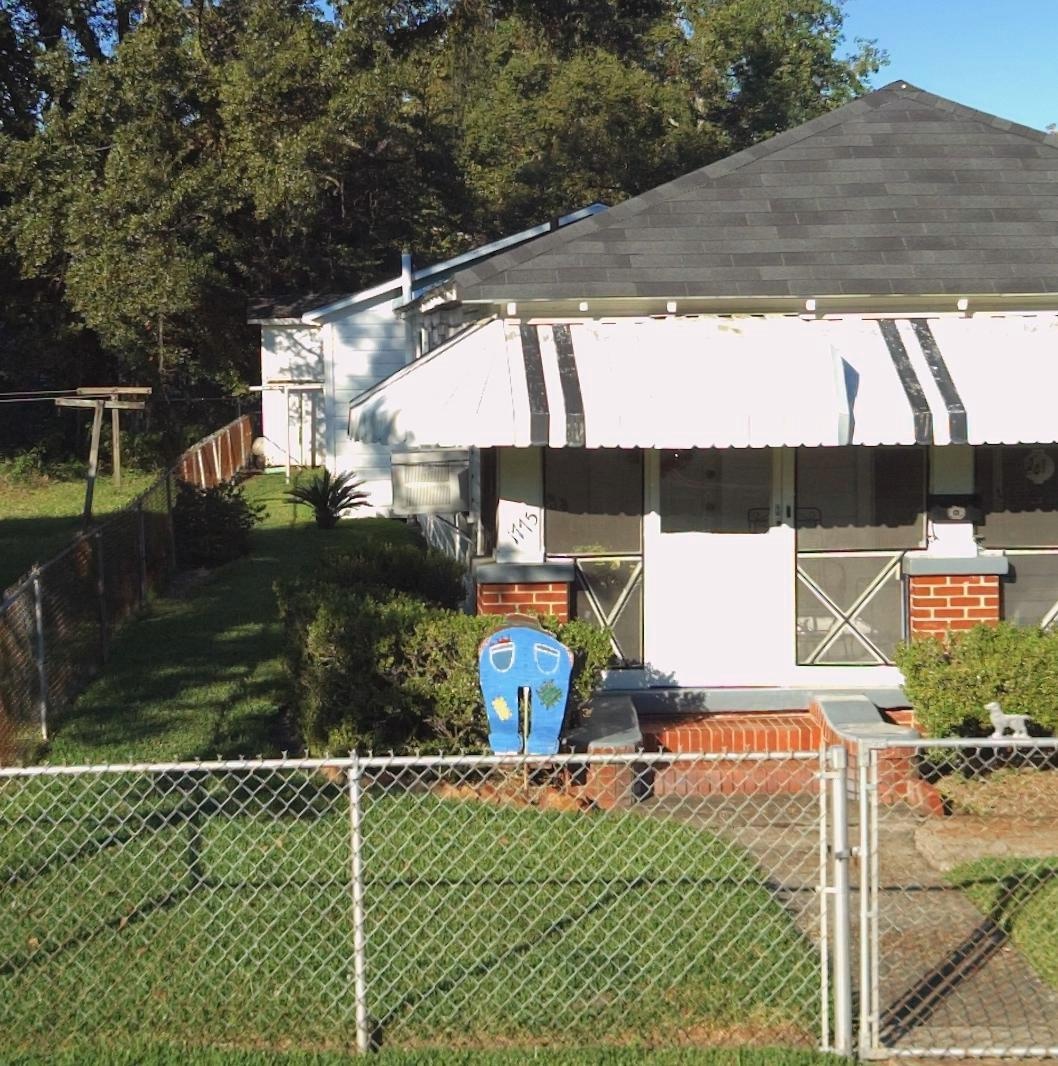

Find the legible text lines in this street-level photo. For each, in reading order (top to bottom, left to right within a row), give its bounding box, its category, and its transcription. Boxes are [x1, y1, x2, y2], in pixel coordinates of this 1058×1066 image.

[502, 508, 543, 550] StreetNumber: 1775